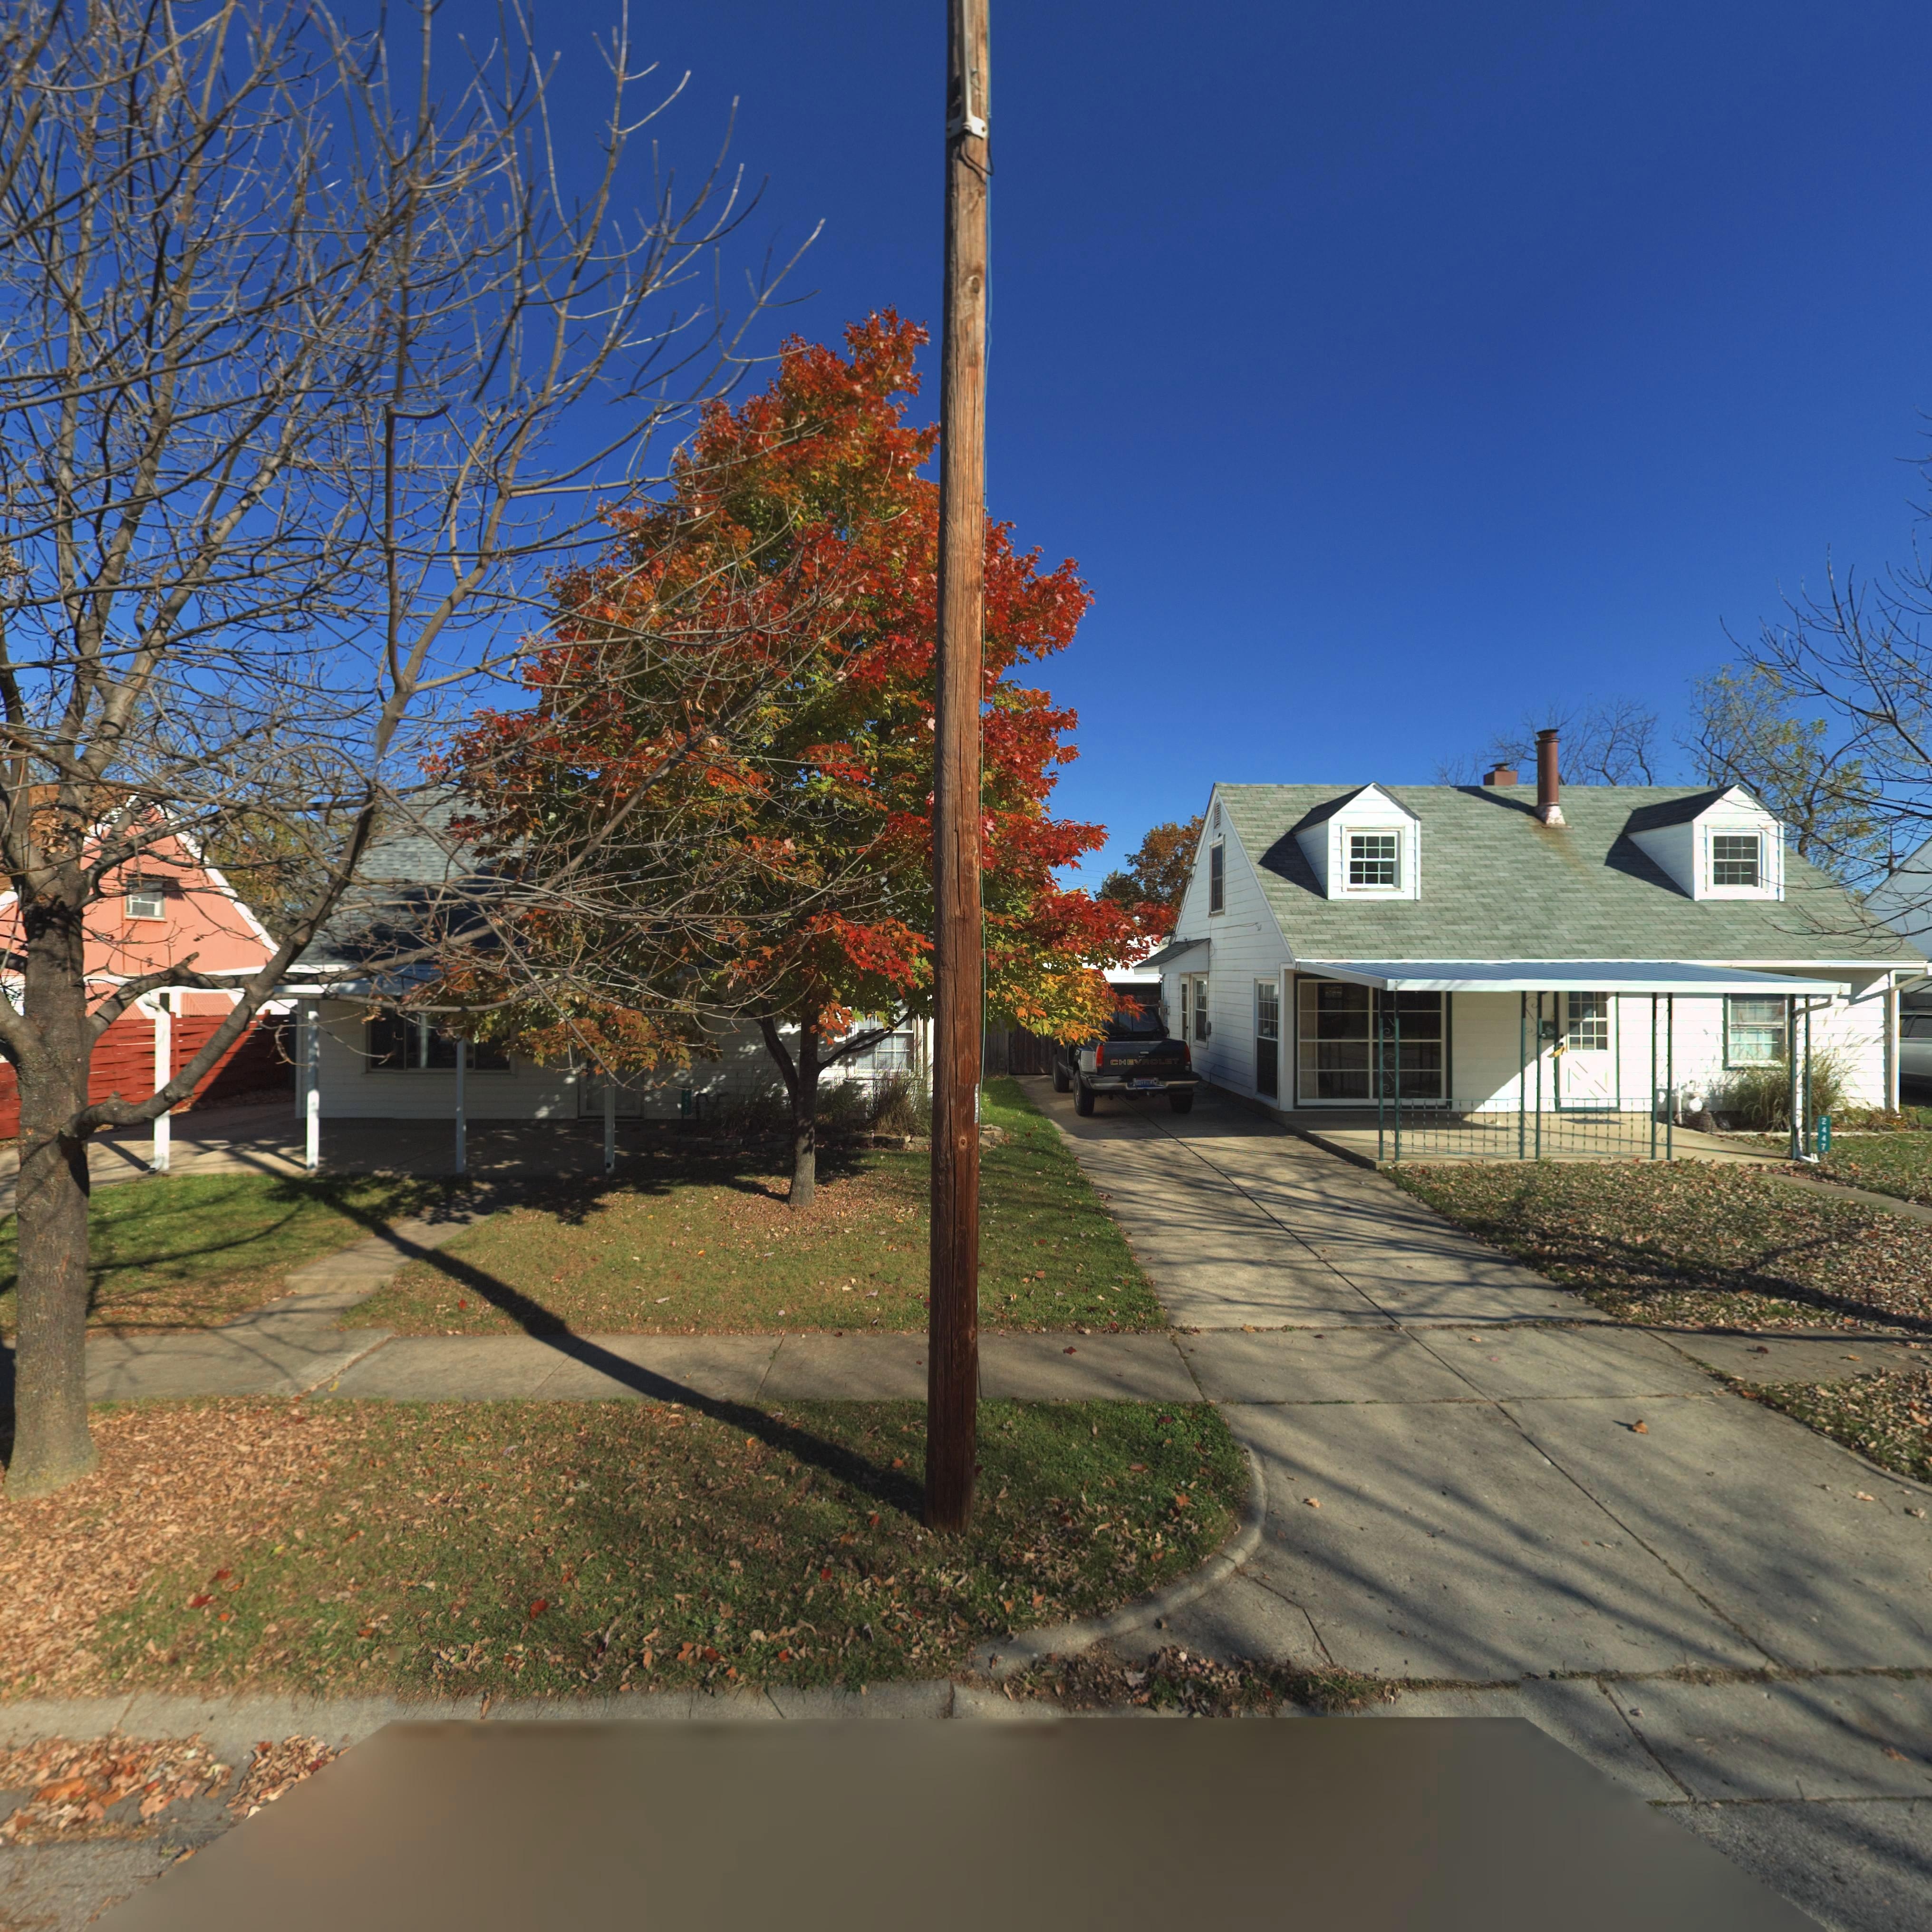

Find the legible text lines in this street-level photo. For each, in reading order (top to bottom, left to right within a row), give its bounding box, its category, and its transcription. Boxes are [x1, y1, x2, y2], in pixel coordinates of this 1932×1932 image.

[1820, 1116, 1828, 1151] StreetNumber: 2447